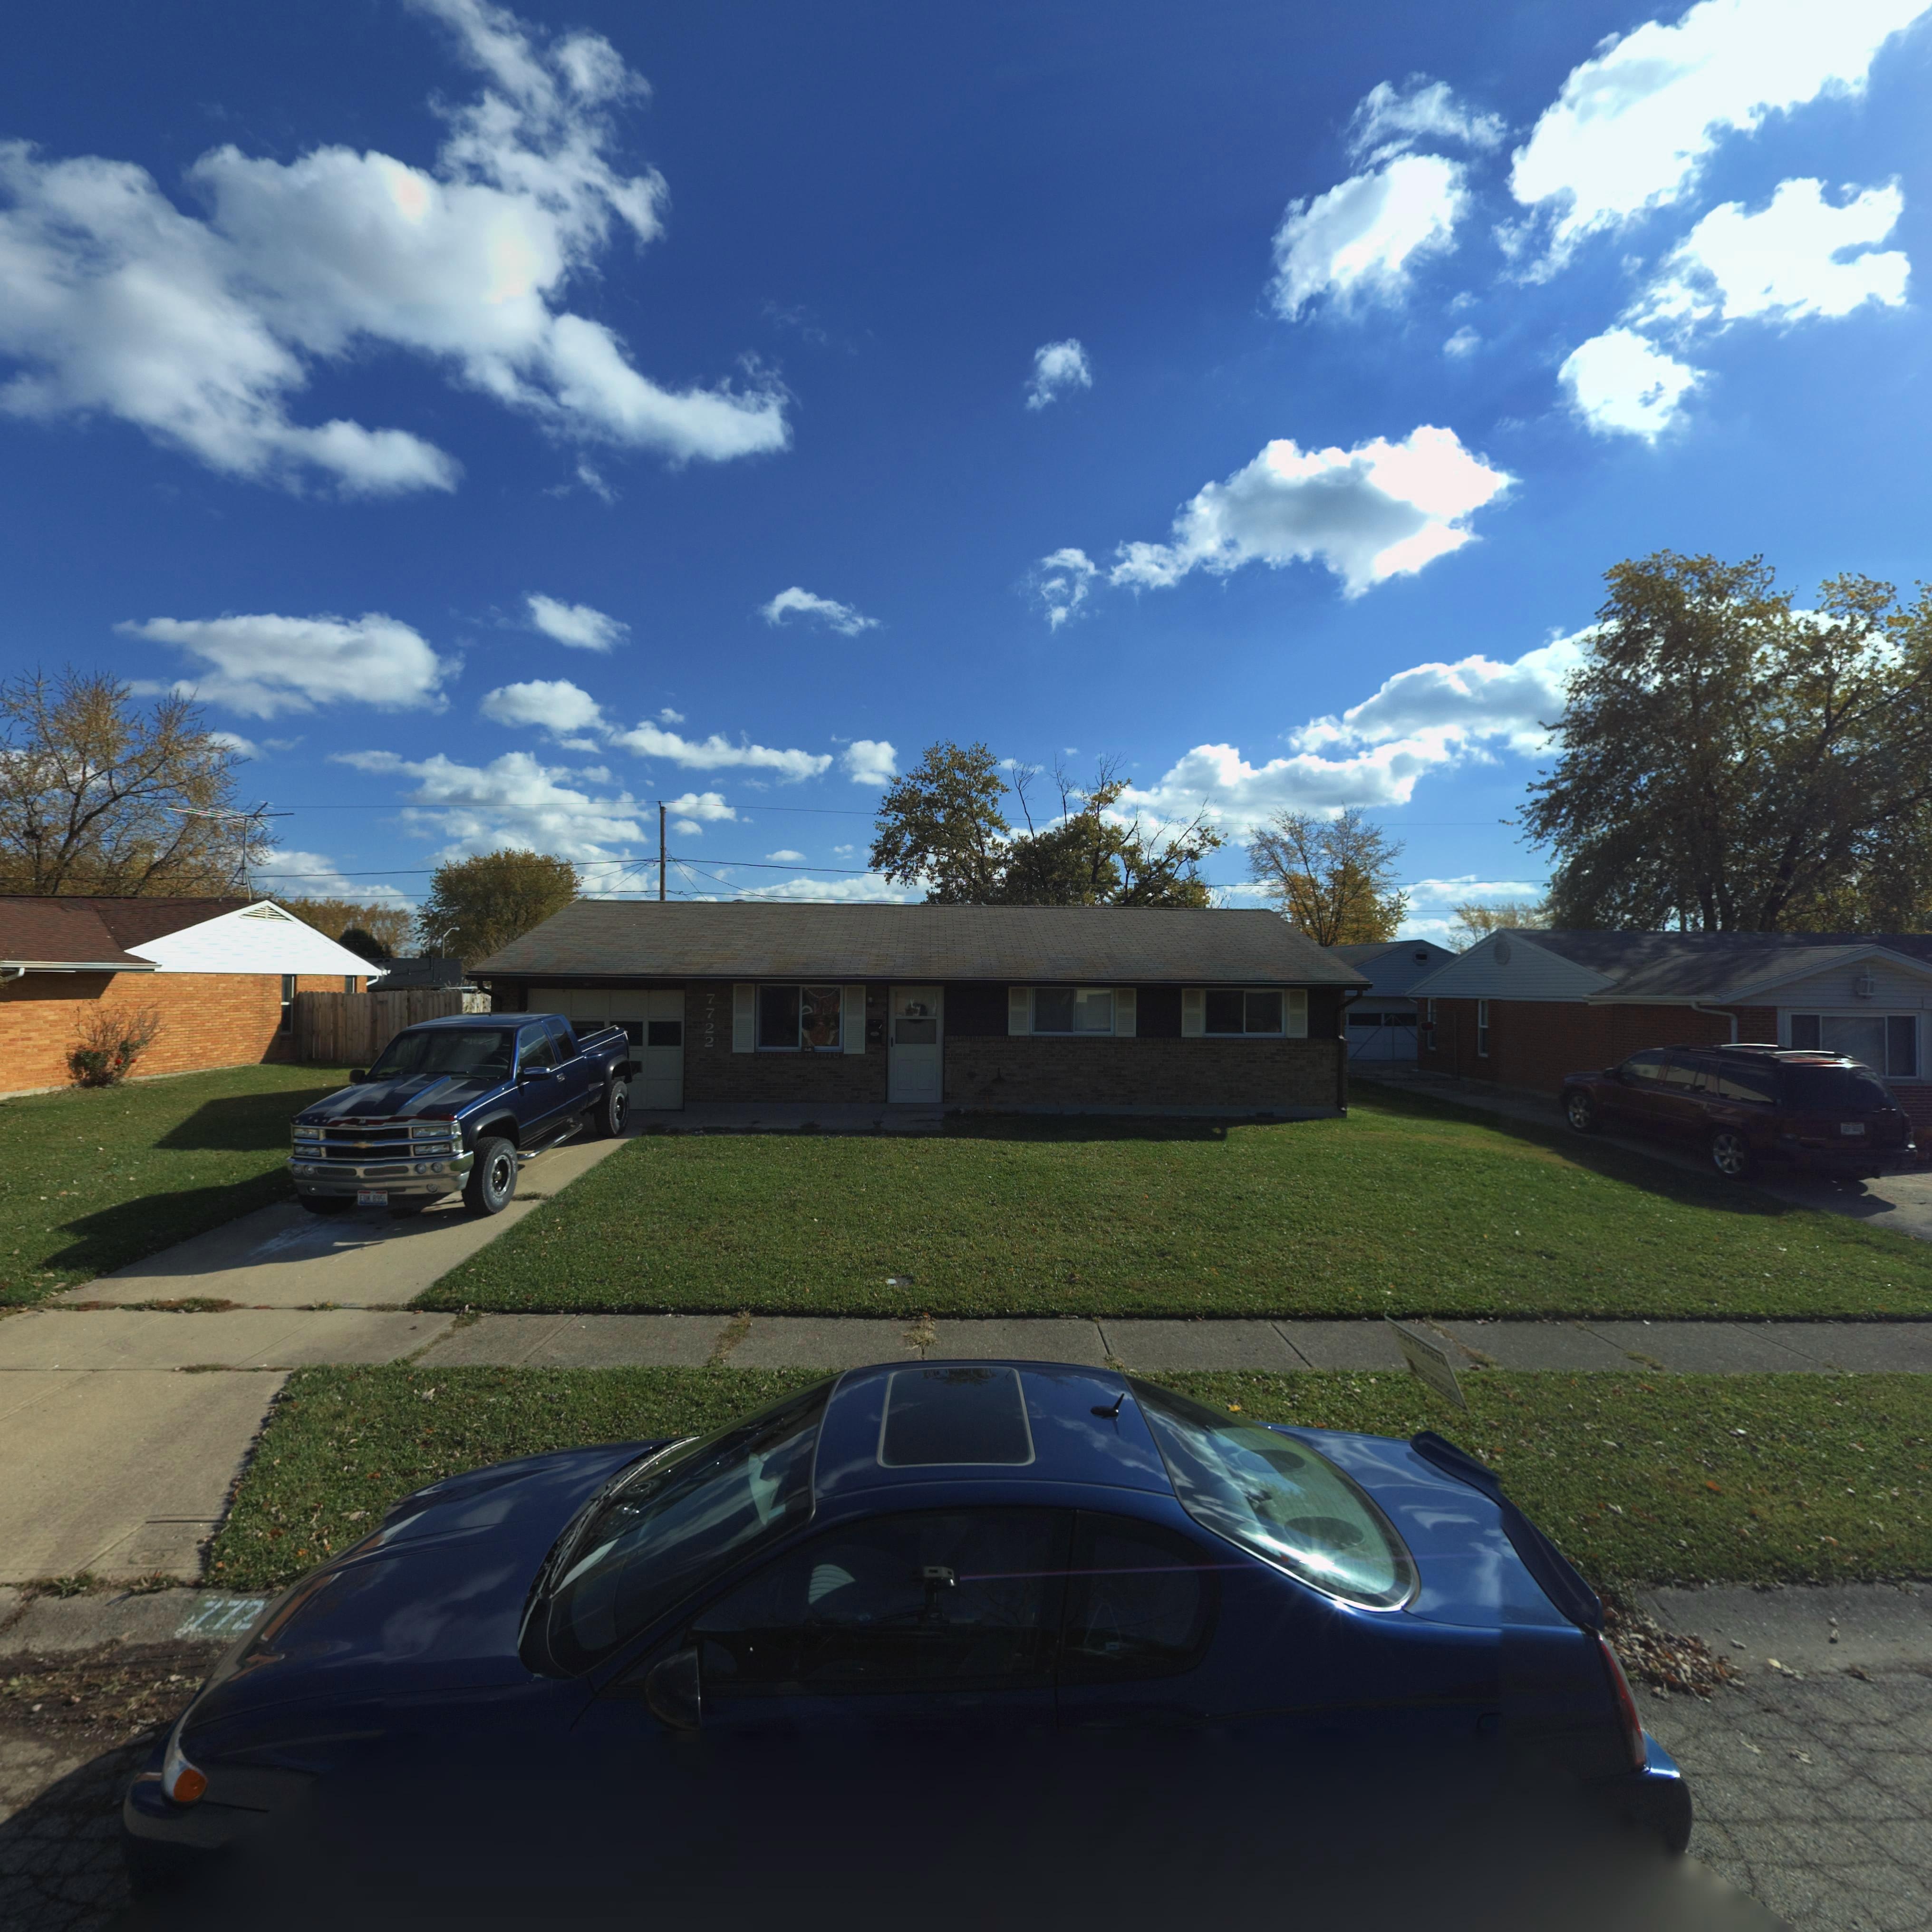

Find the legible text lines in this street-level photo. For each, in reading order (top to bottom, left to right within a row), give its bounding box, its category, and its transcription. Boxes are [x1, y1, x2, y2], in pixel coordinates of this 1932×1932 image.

[702, 992, 717, 1049] StreetNumber: 7722
[187, 1598, 269, 1633] StreetNumber: 772